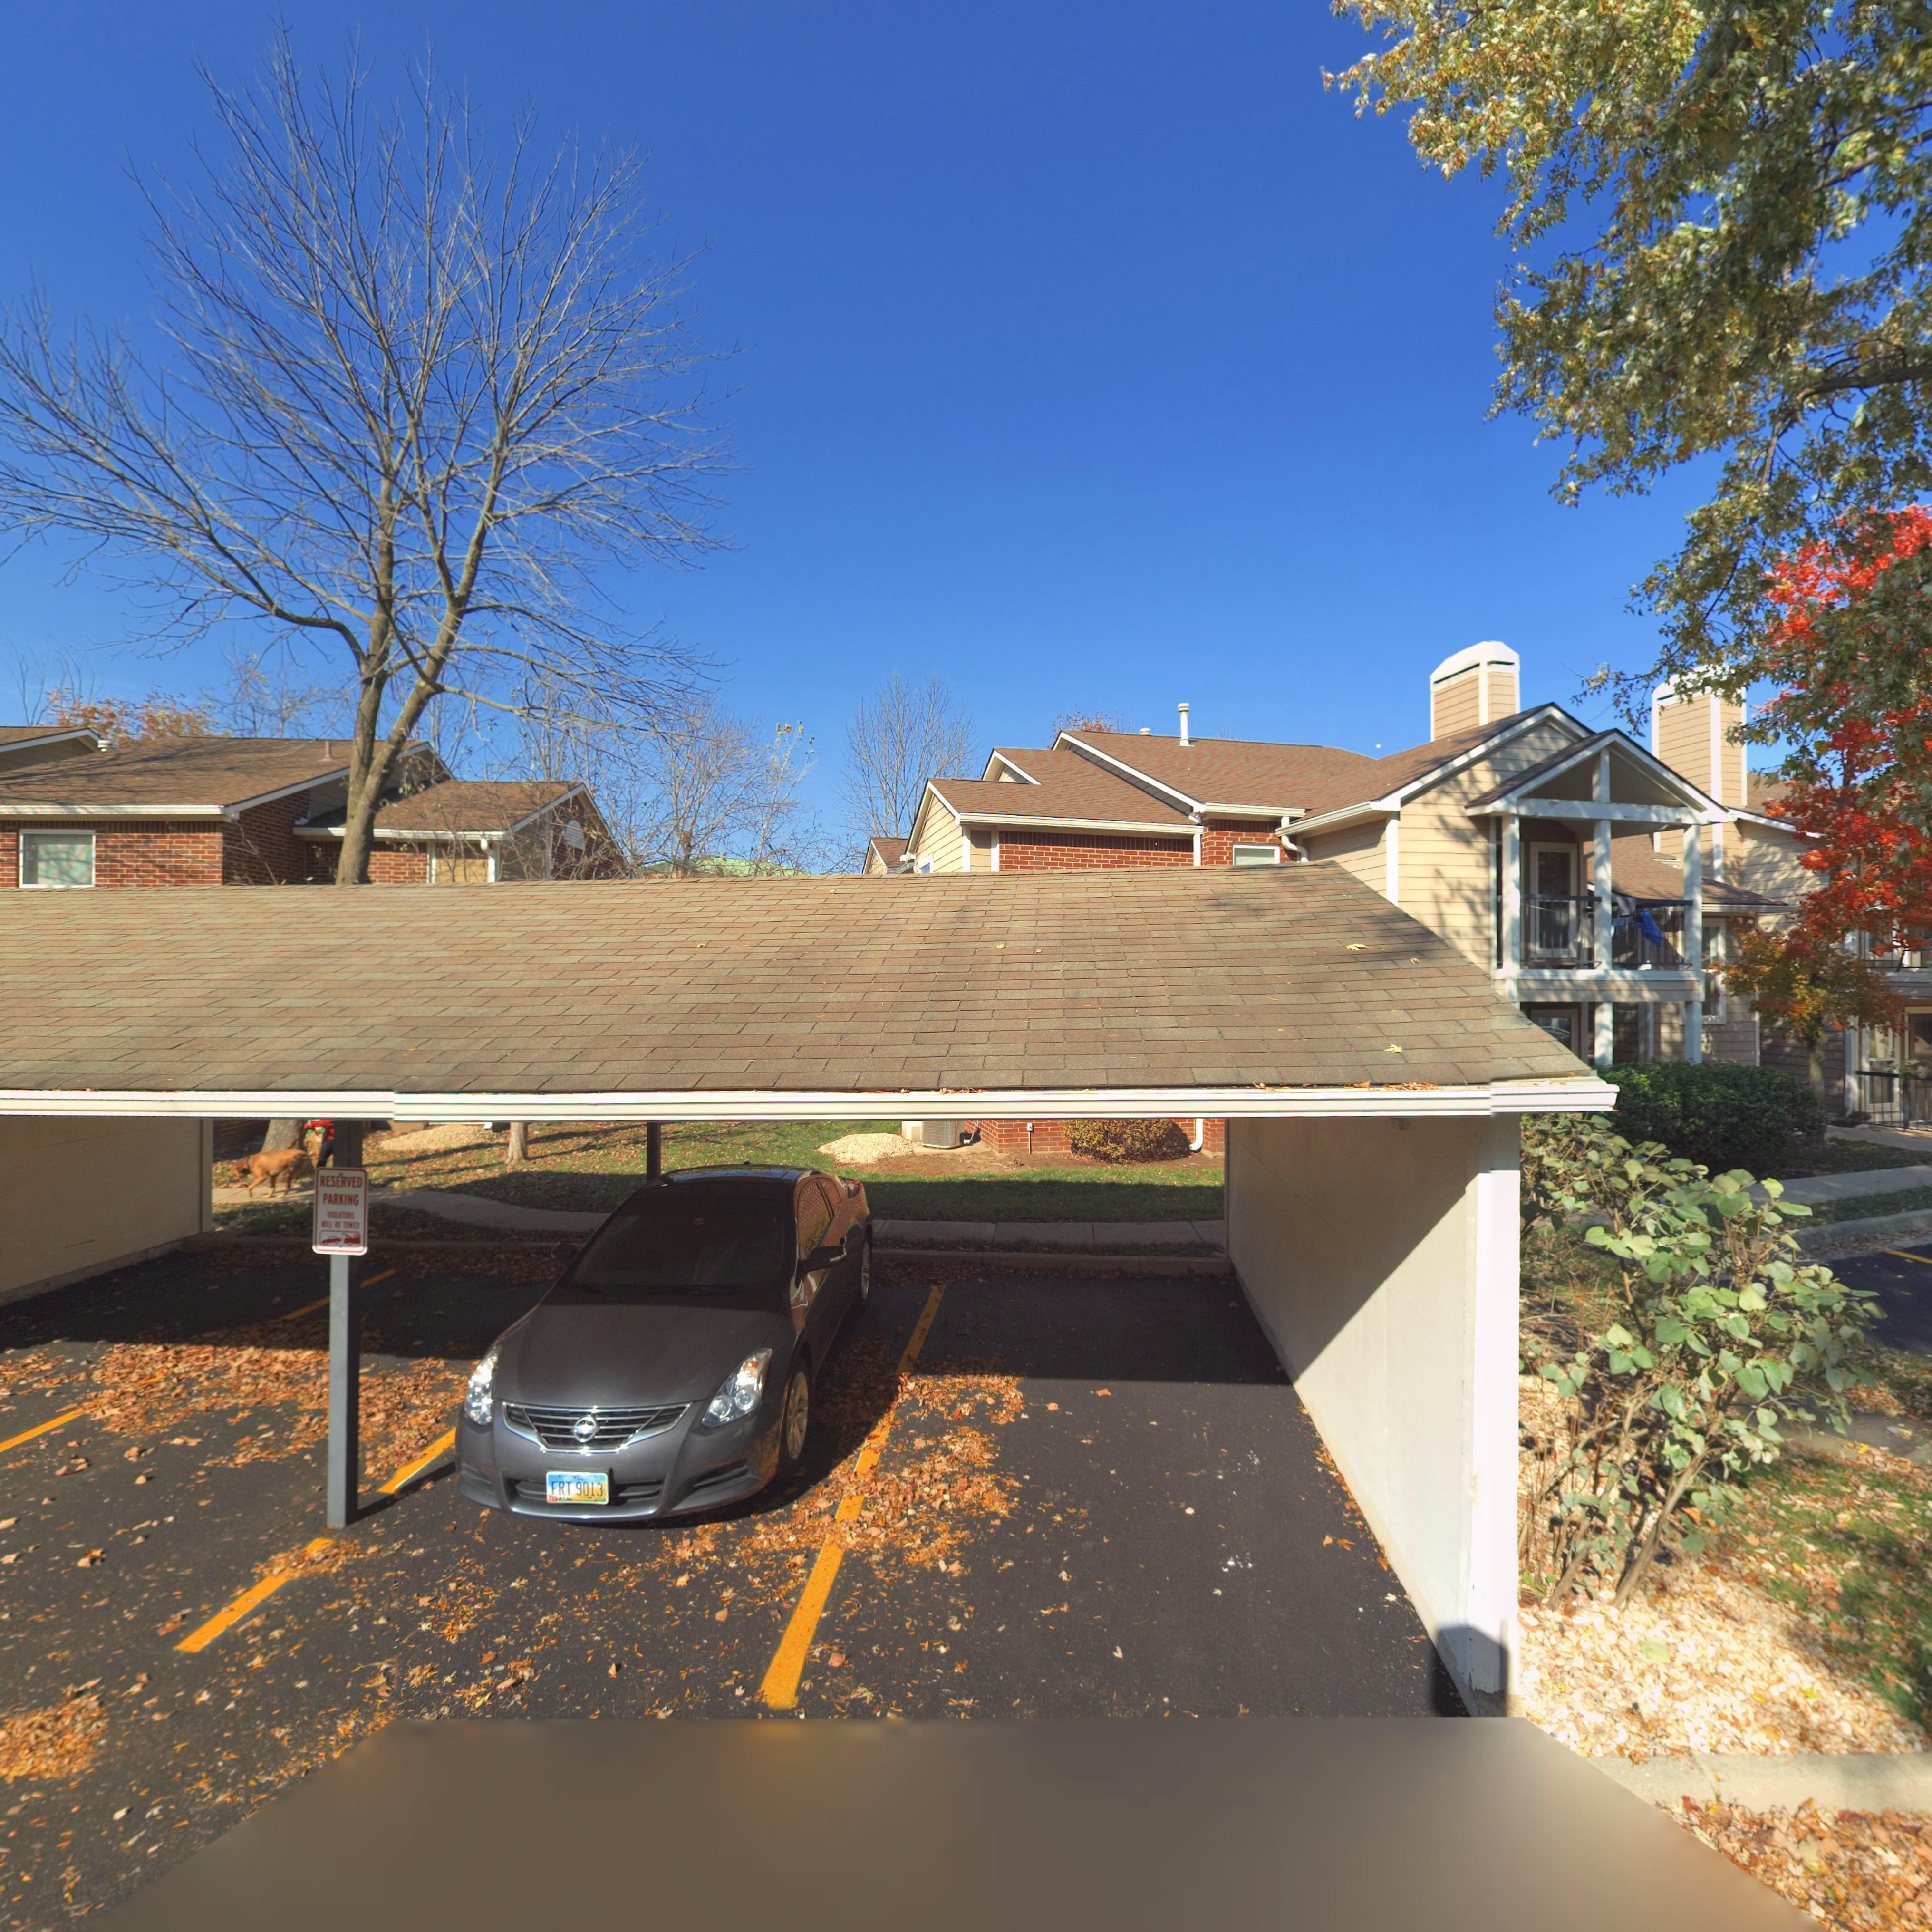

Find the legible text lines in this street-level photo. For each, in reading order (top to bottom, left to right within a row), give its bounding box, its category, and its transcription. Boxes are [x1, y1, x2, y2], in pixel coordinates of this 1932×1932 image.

[319, 1174, 364, 1189] None: RESERVED
[321, 1191, 360, 1207] None: PARKING
[551, 1480, 604, 1497] None: FRT 9013